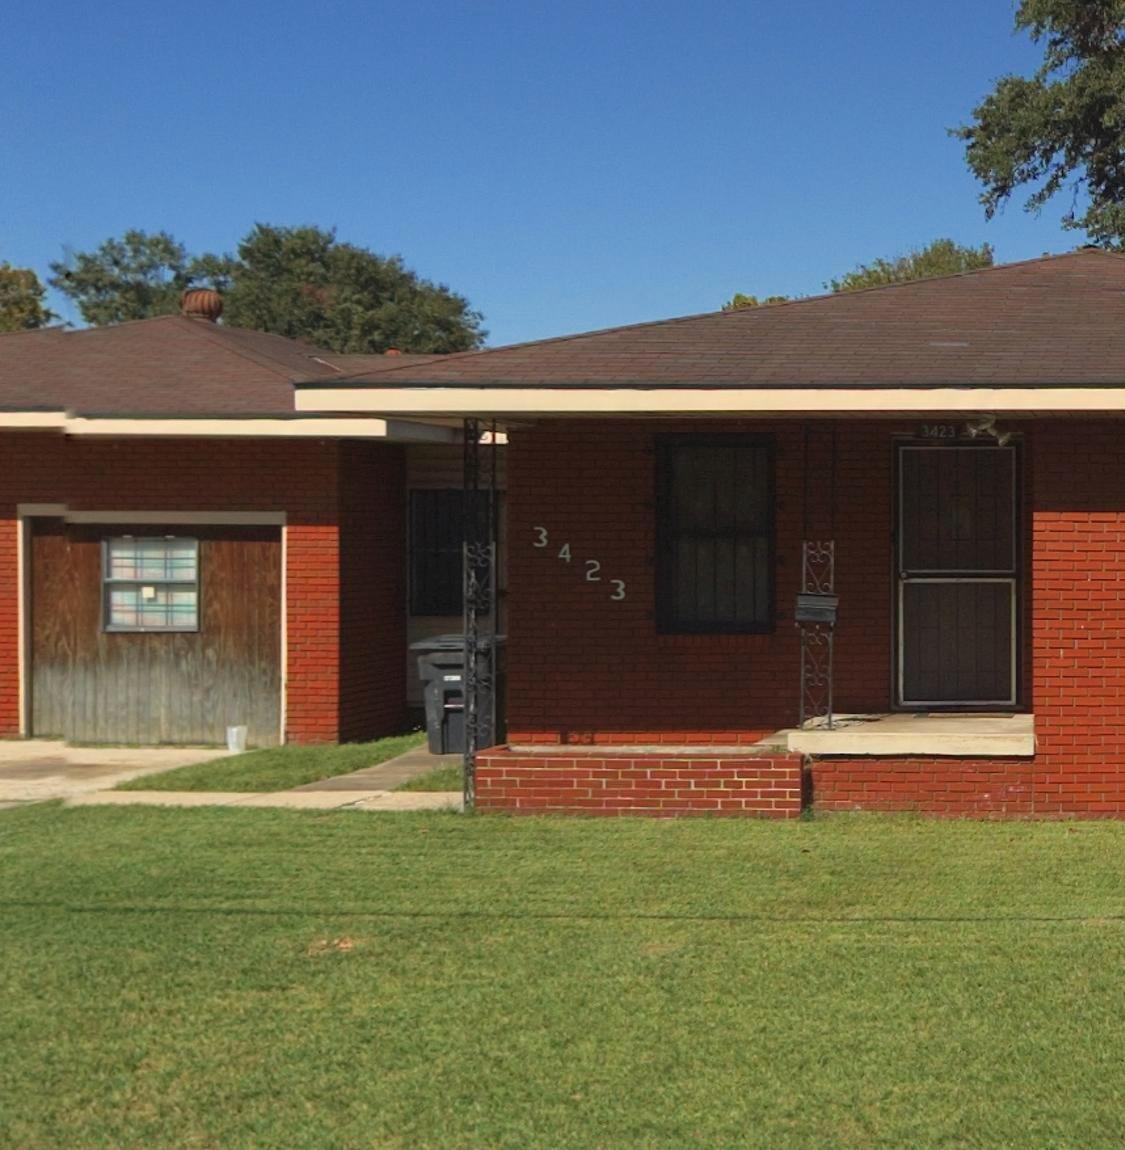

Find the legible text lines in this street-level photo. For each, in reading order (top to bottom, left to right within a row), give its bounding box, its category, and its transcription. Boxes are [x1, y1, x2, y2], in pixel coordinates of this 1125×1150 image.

[920, 424, 956, 439] StreetNumber: 3423
[530, 525, 630, 602] StreetNumber: 3423